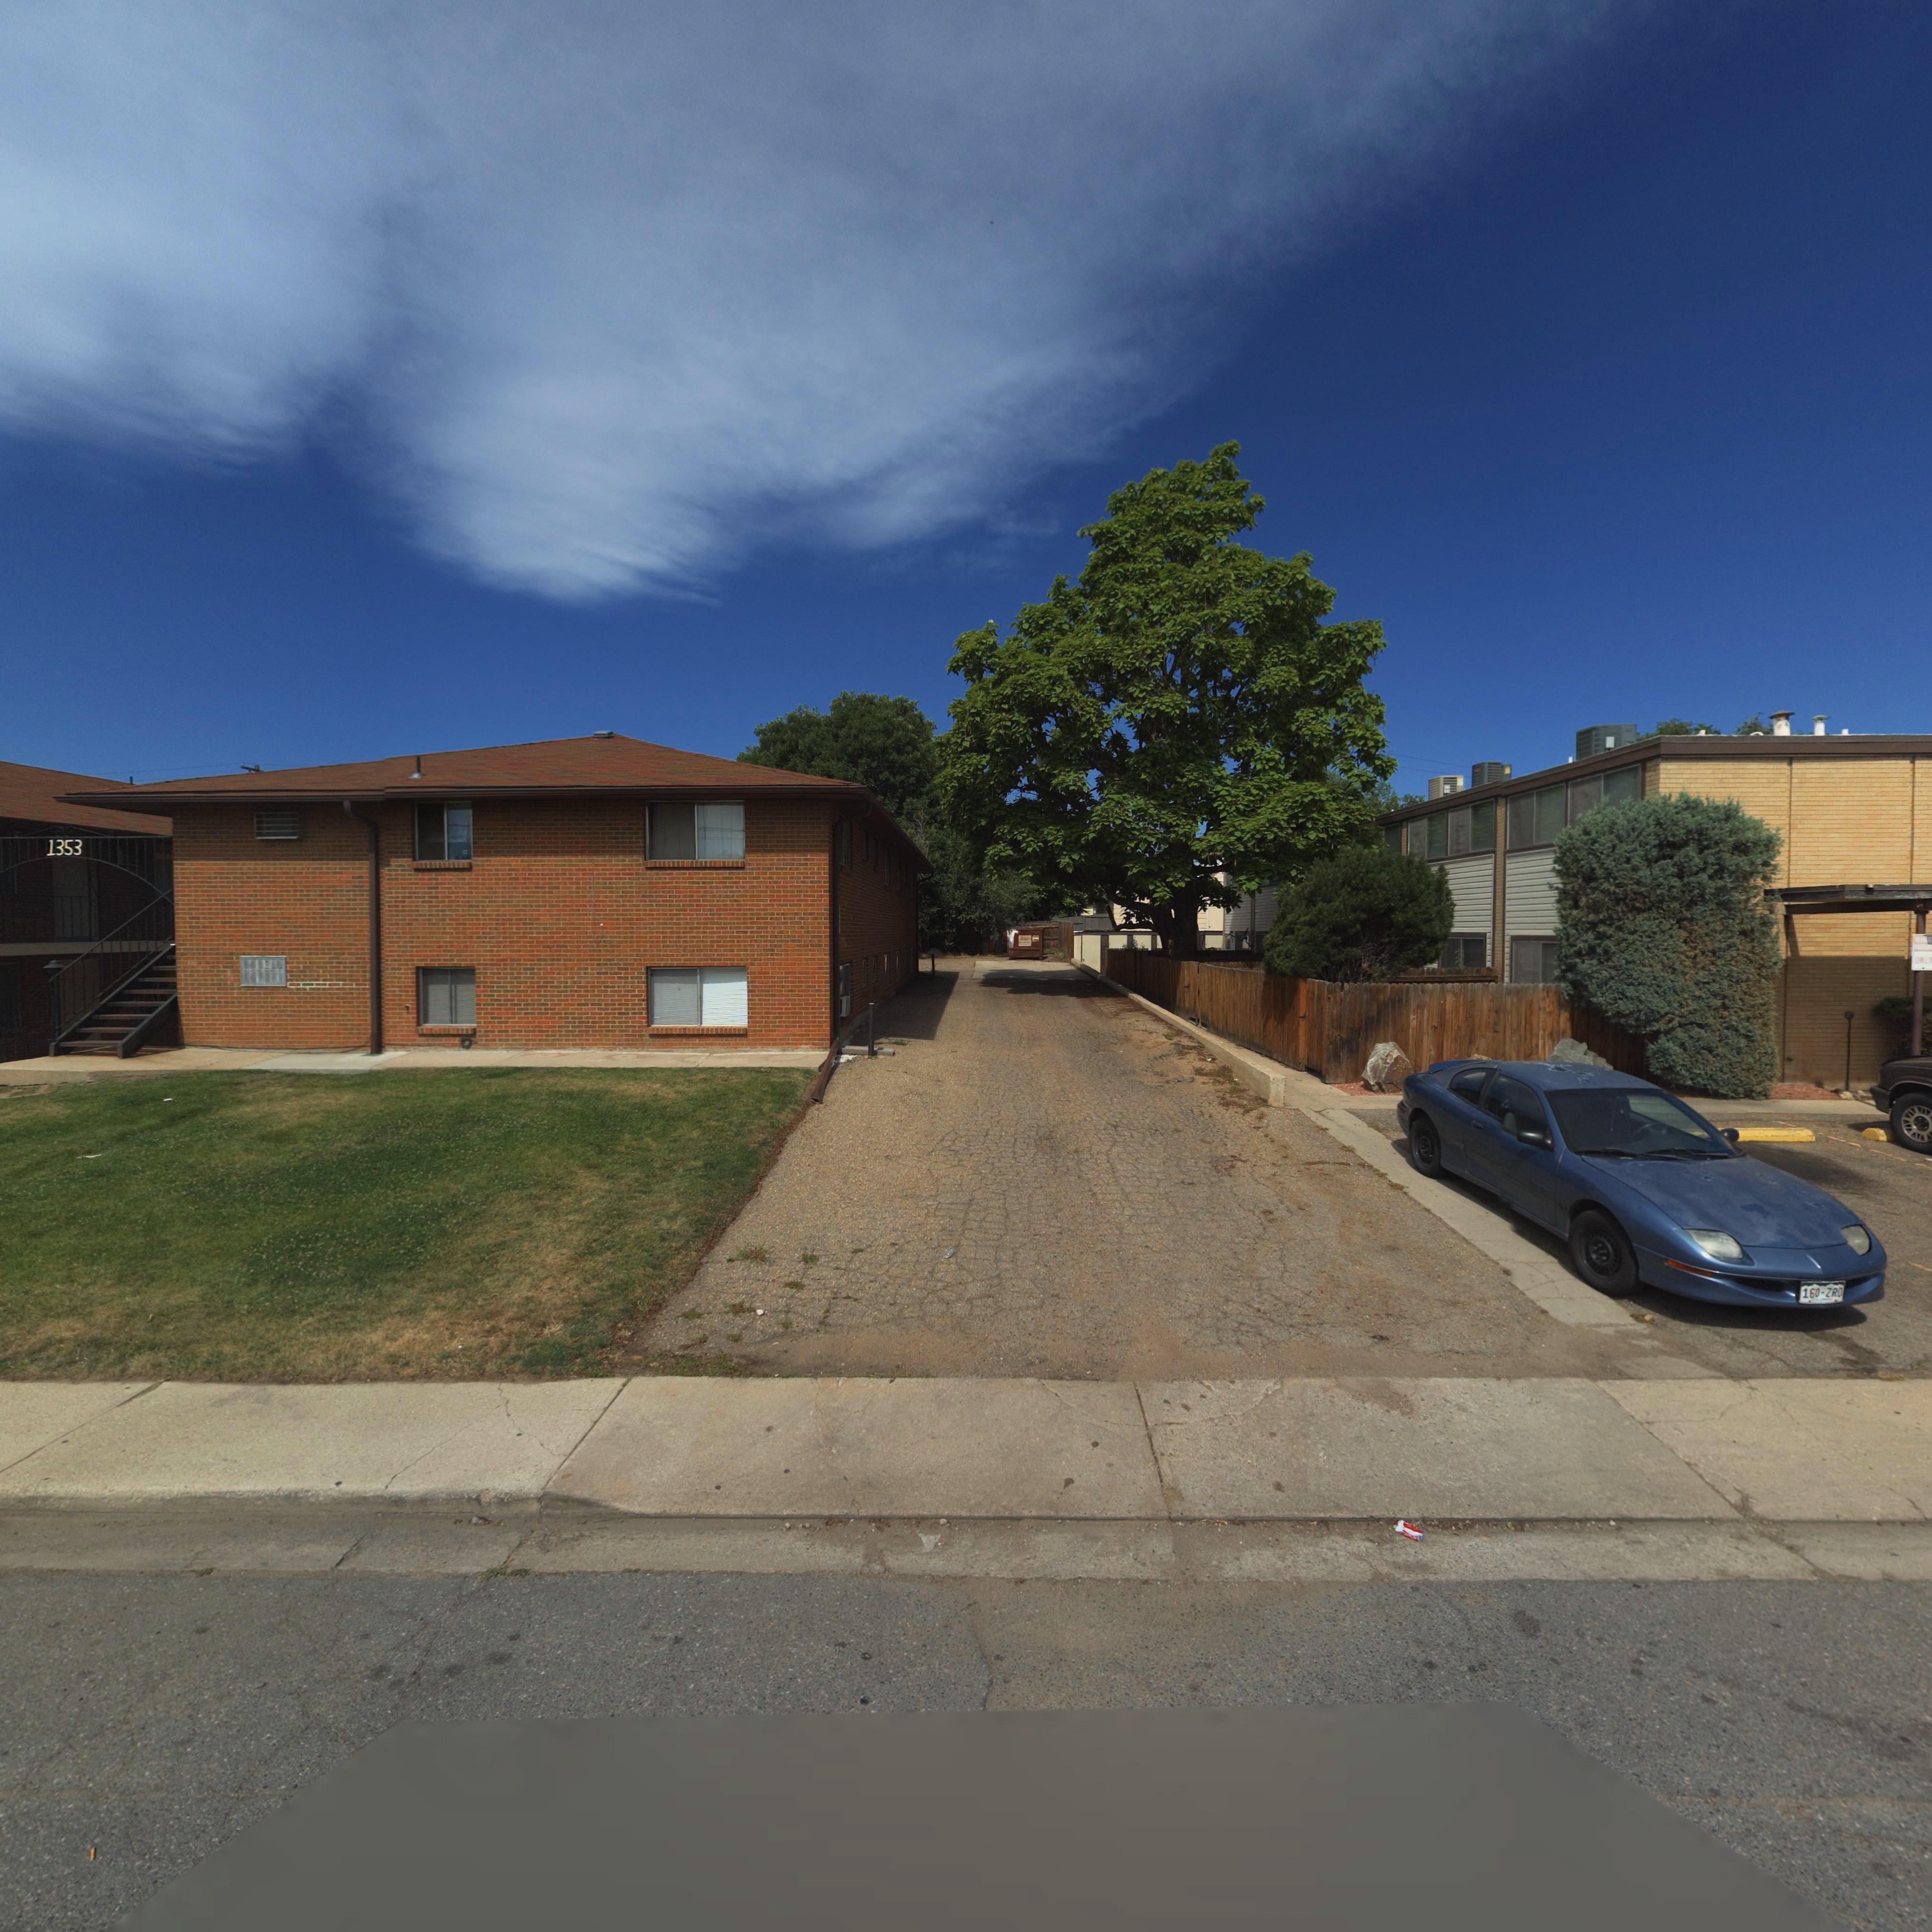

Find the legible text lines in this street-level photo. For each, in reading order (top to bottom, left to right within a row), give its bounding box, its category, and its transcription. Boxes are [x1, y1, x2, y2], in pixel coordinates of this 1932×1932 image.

[45, 839, 83, 856] StreetNumber: 1353